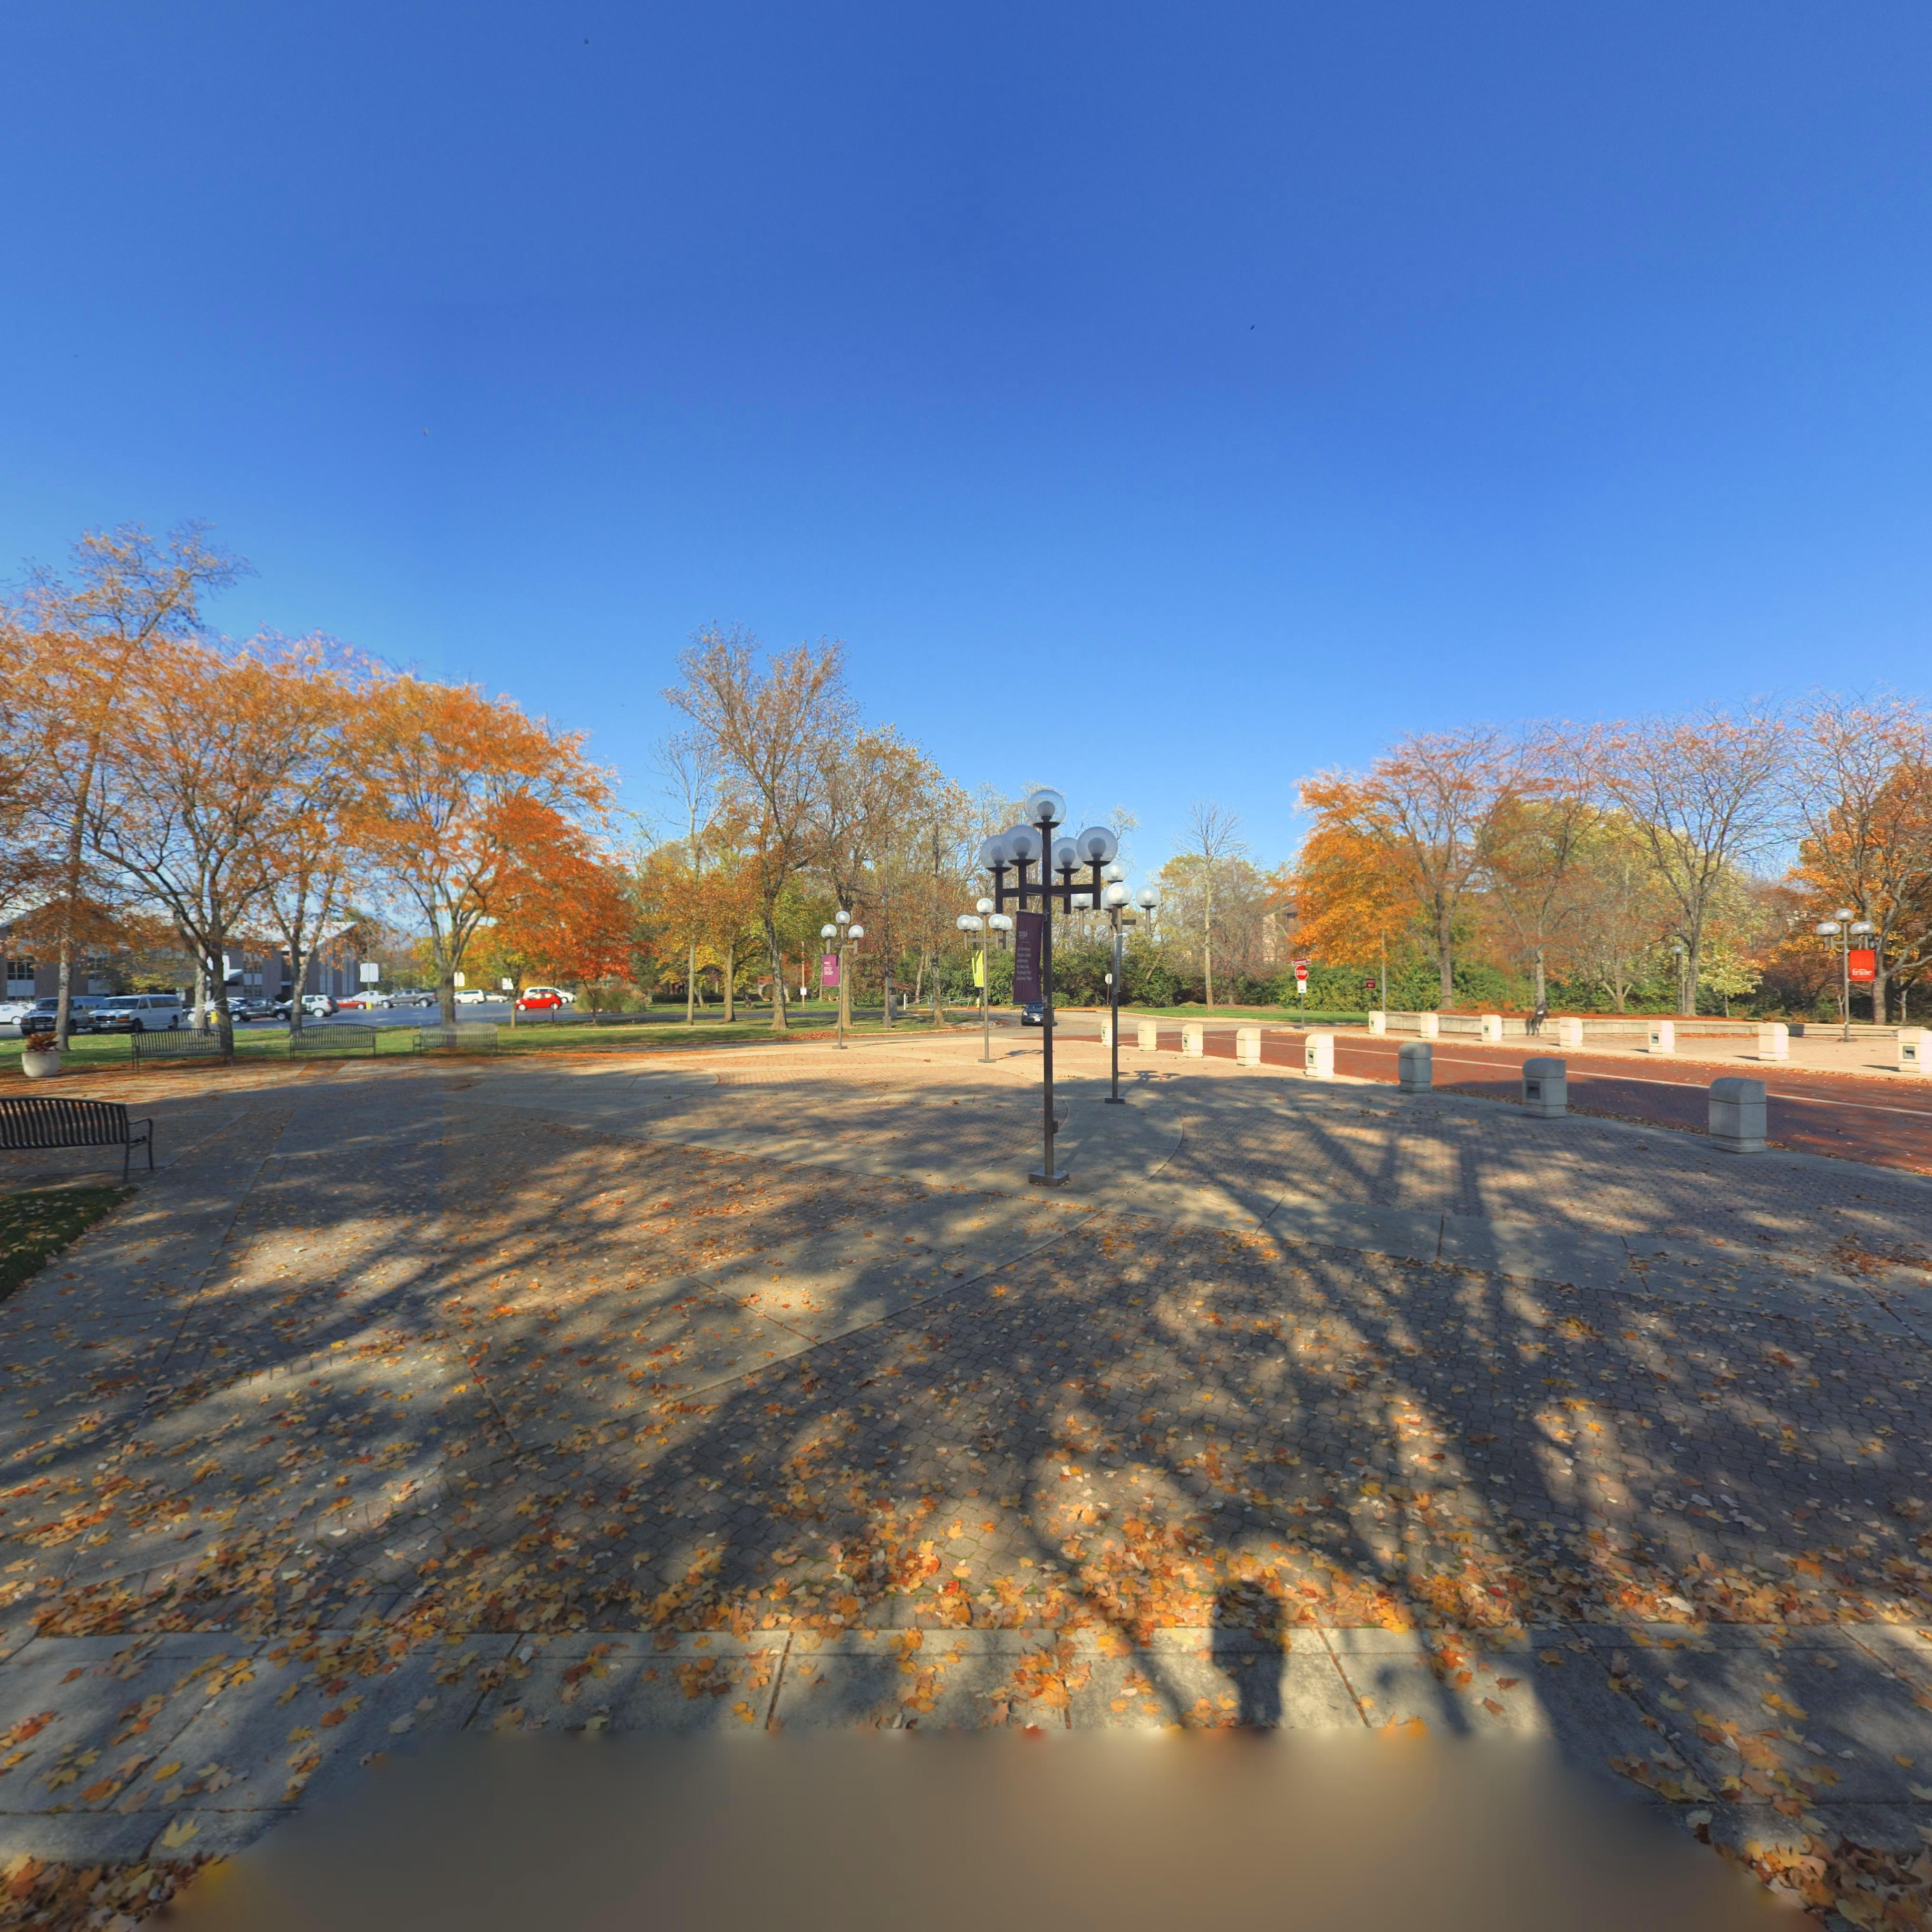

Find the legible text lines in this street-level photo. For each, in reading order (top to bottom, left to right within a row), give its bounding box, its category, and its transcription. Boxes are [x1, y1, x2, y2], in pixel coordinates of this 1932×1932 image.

[1018, 929, 1029, 940] None: 1996
[1296, 970, 1307, 976] None: STOP
[1366, 979, 1375, 983] None: WRONG
[1367, 983, 1373, 987] None: WAY